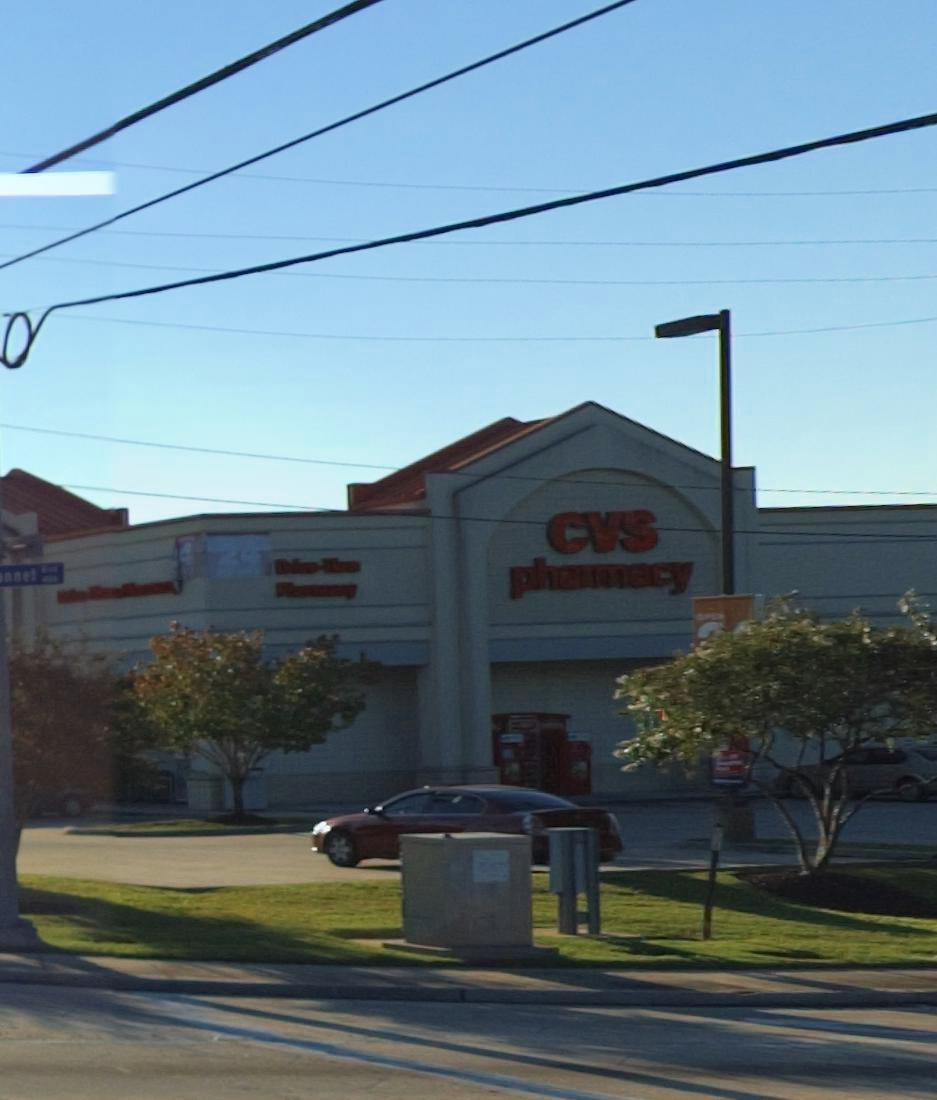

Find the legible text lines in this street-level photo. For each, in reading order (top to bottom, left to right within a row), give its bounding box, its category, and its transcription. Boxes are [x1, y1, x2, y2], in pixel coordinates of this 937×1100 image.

[542, 507, 662, 558] BusinessName: CVS
[1, 564, 41, 586] StreetName: nnet
[272, 577, 363, 604] None: Pharmacy
[271, 553, 366, 579] None: Drive-Thru
[506, 554, 698, 604] BusinessName: pharmacy